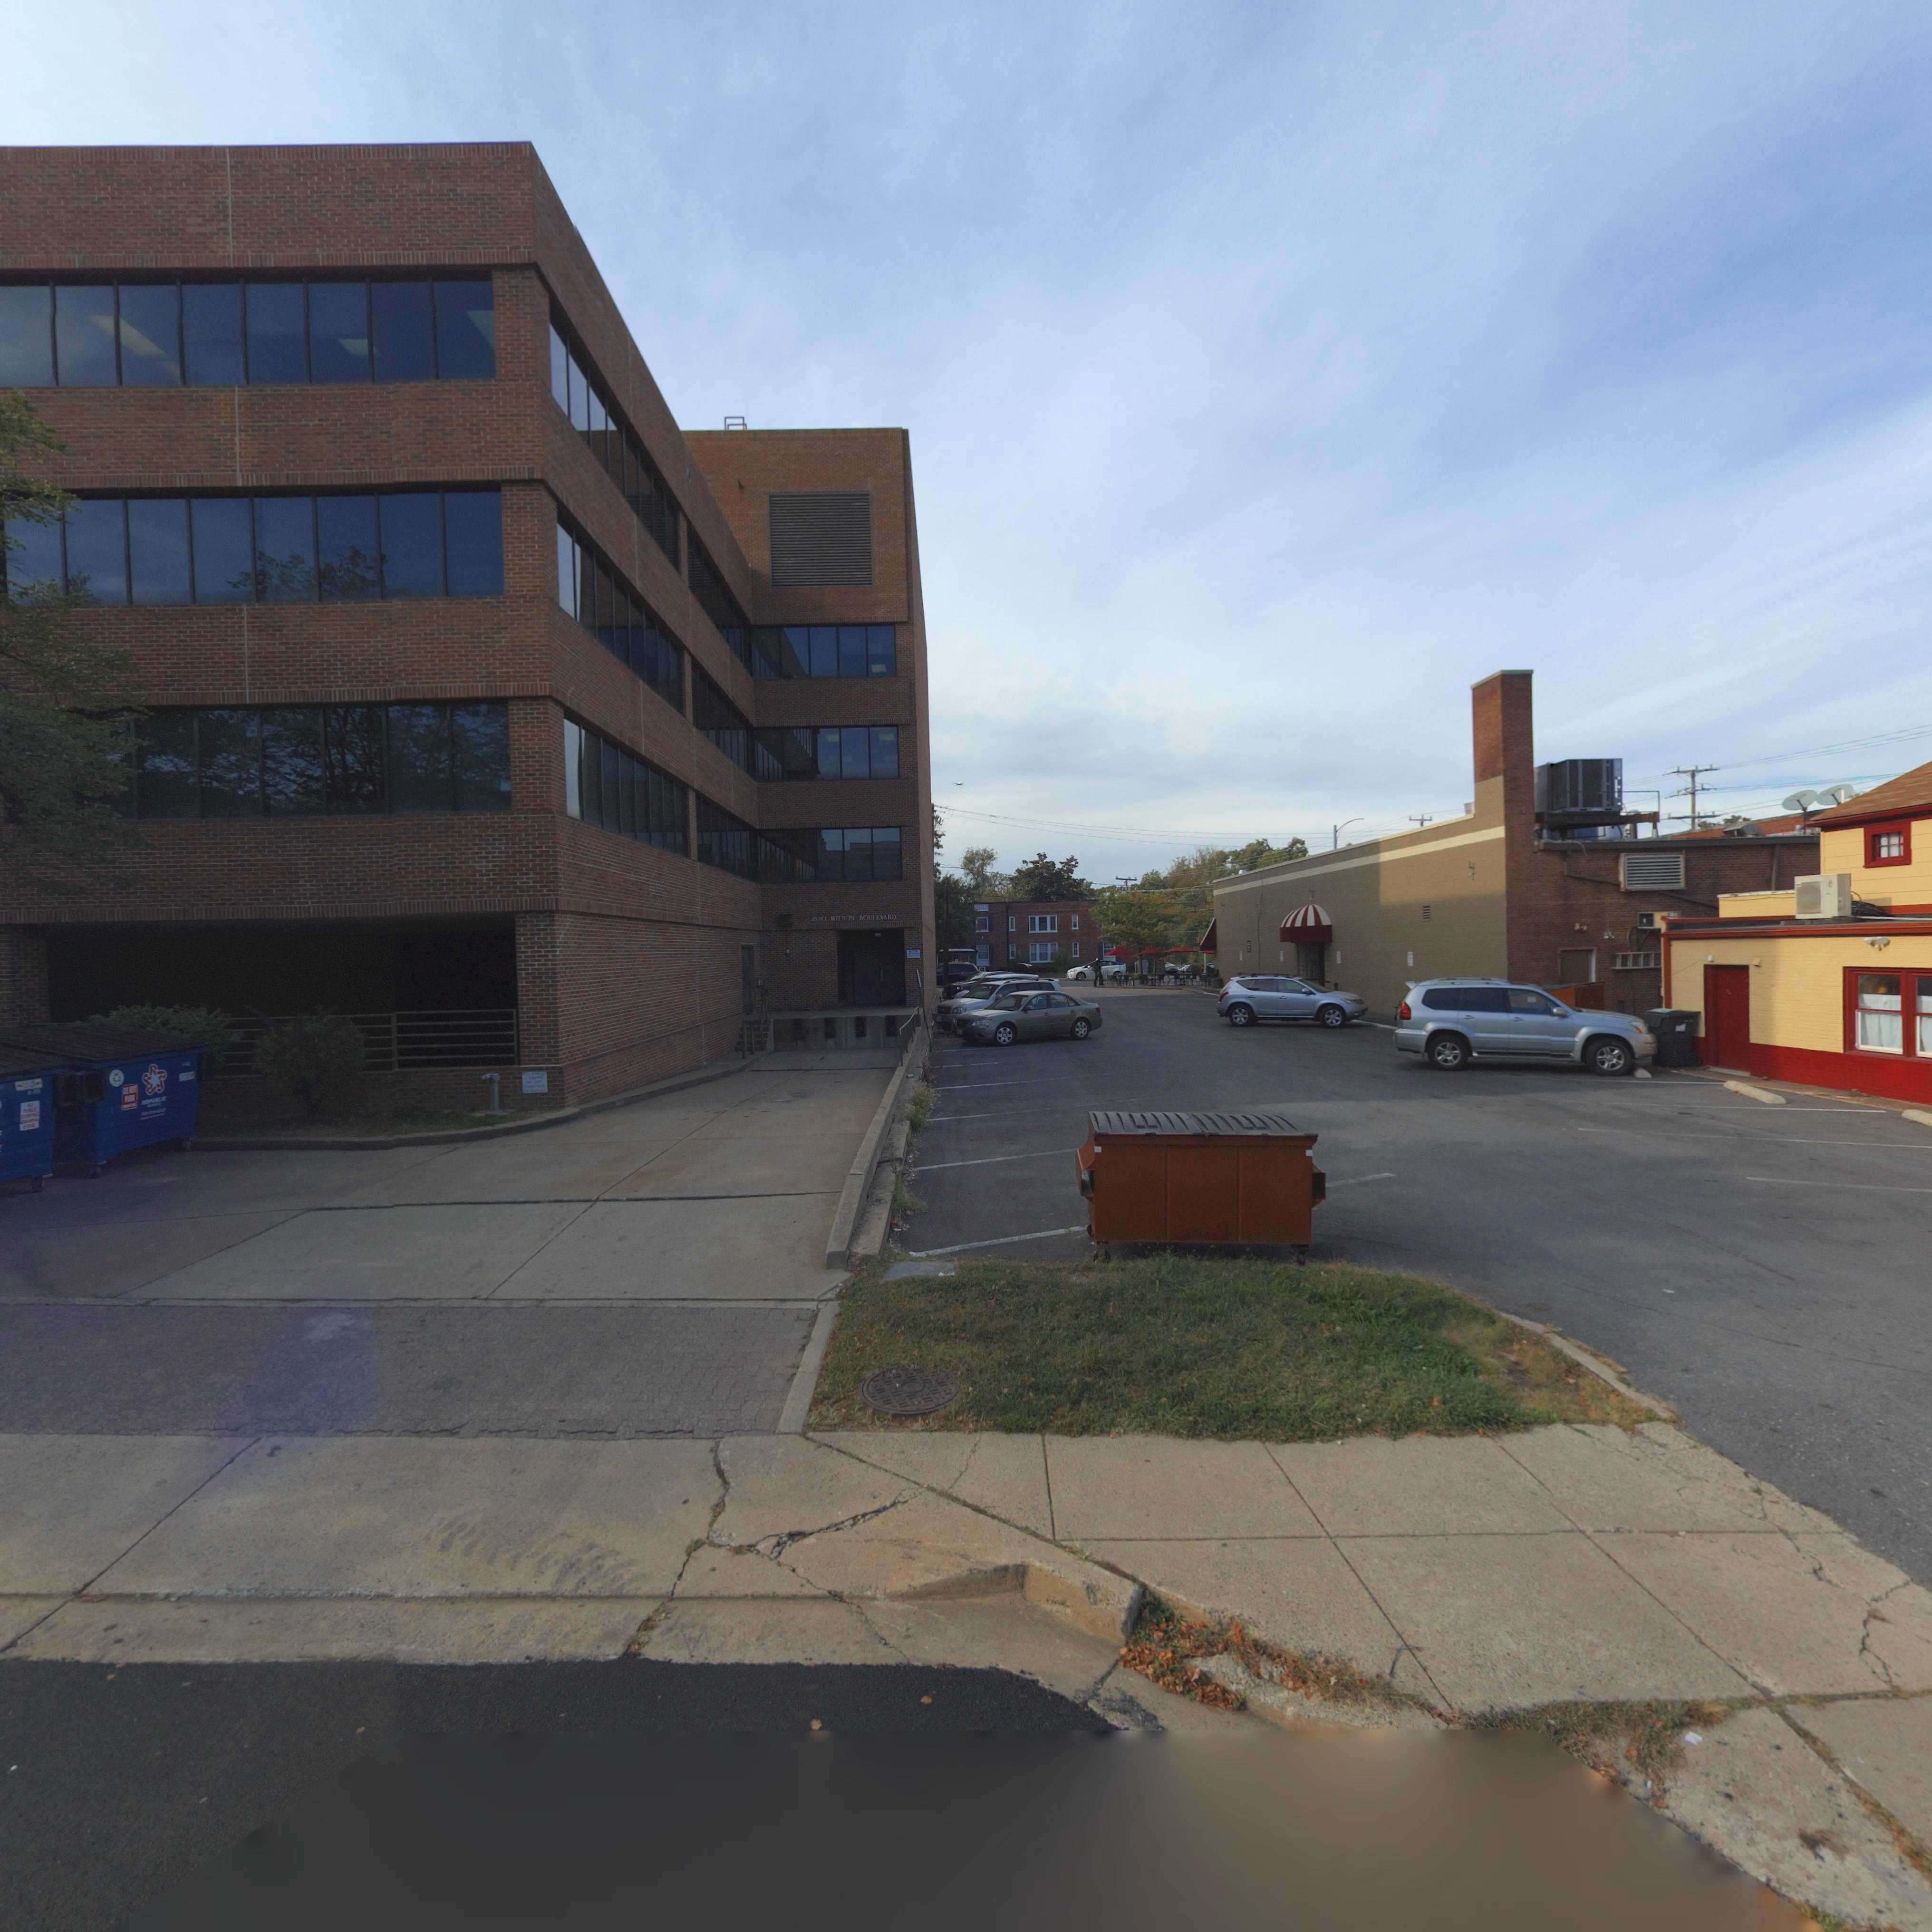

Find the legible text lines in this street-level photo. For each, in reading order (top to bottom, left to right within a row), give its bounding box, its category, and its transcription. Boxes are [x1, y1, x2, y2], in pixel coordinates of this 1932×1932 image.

[811, 915, 828, 922] StreetNumber: 18*0
[829, 914, 898, 922] StreetName: WILSON BOULEVARD